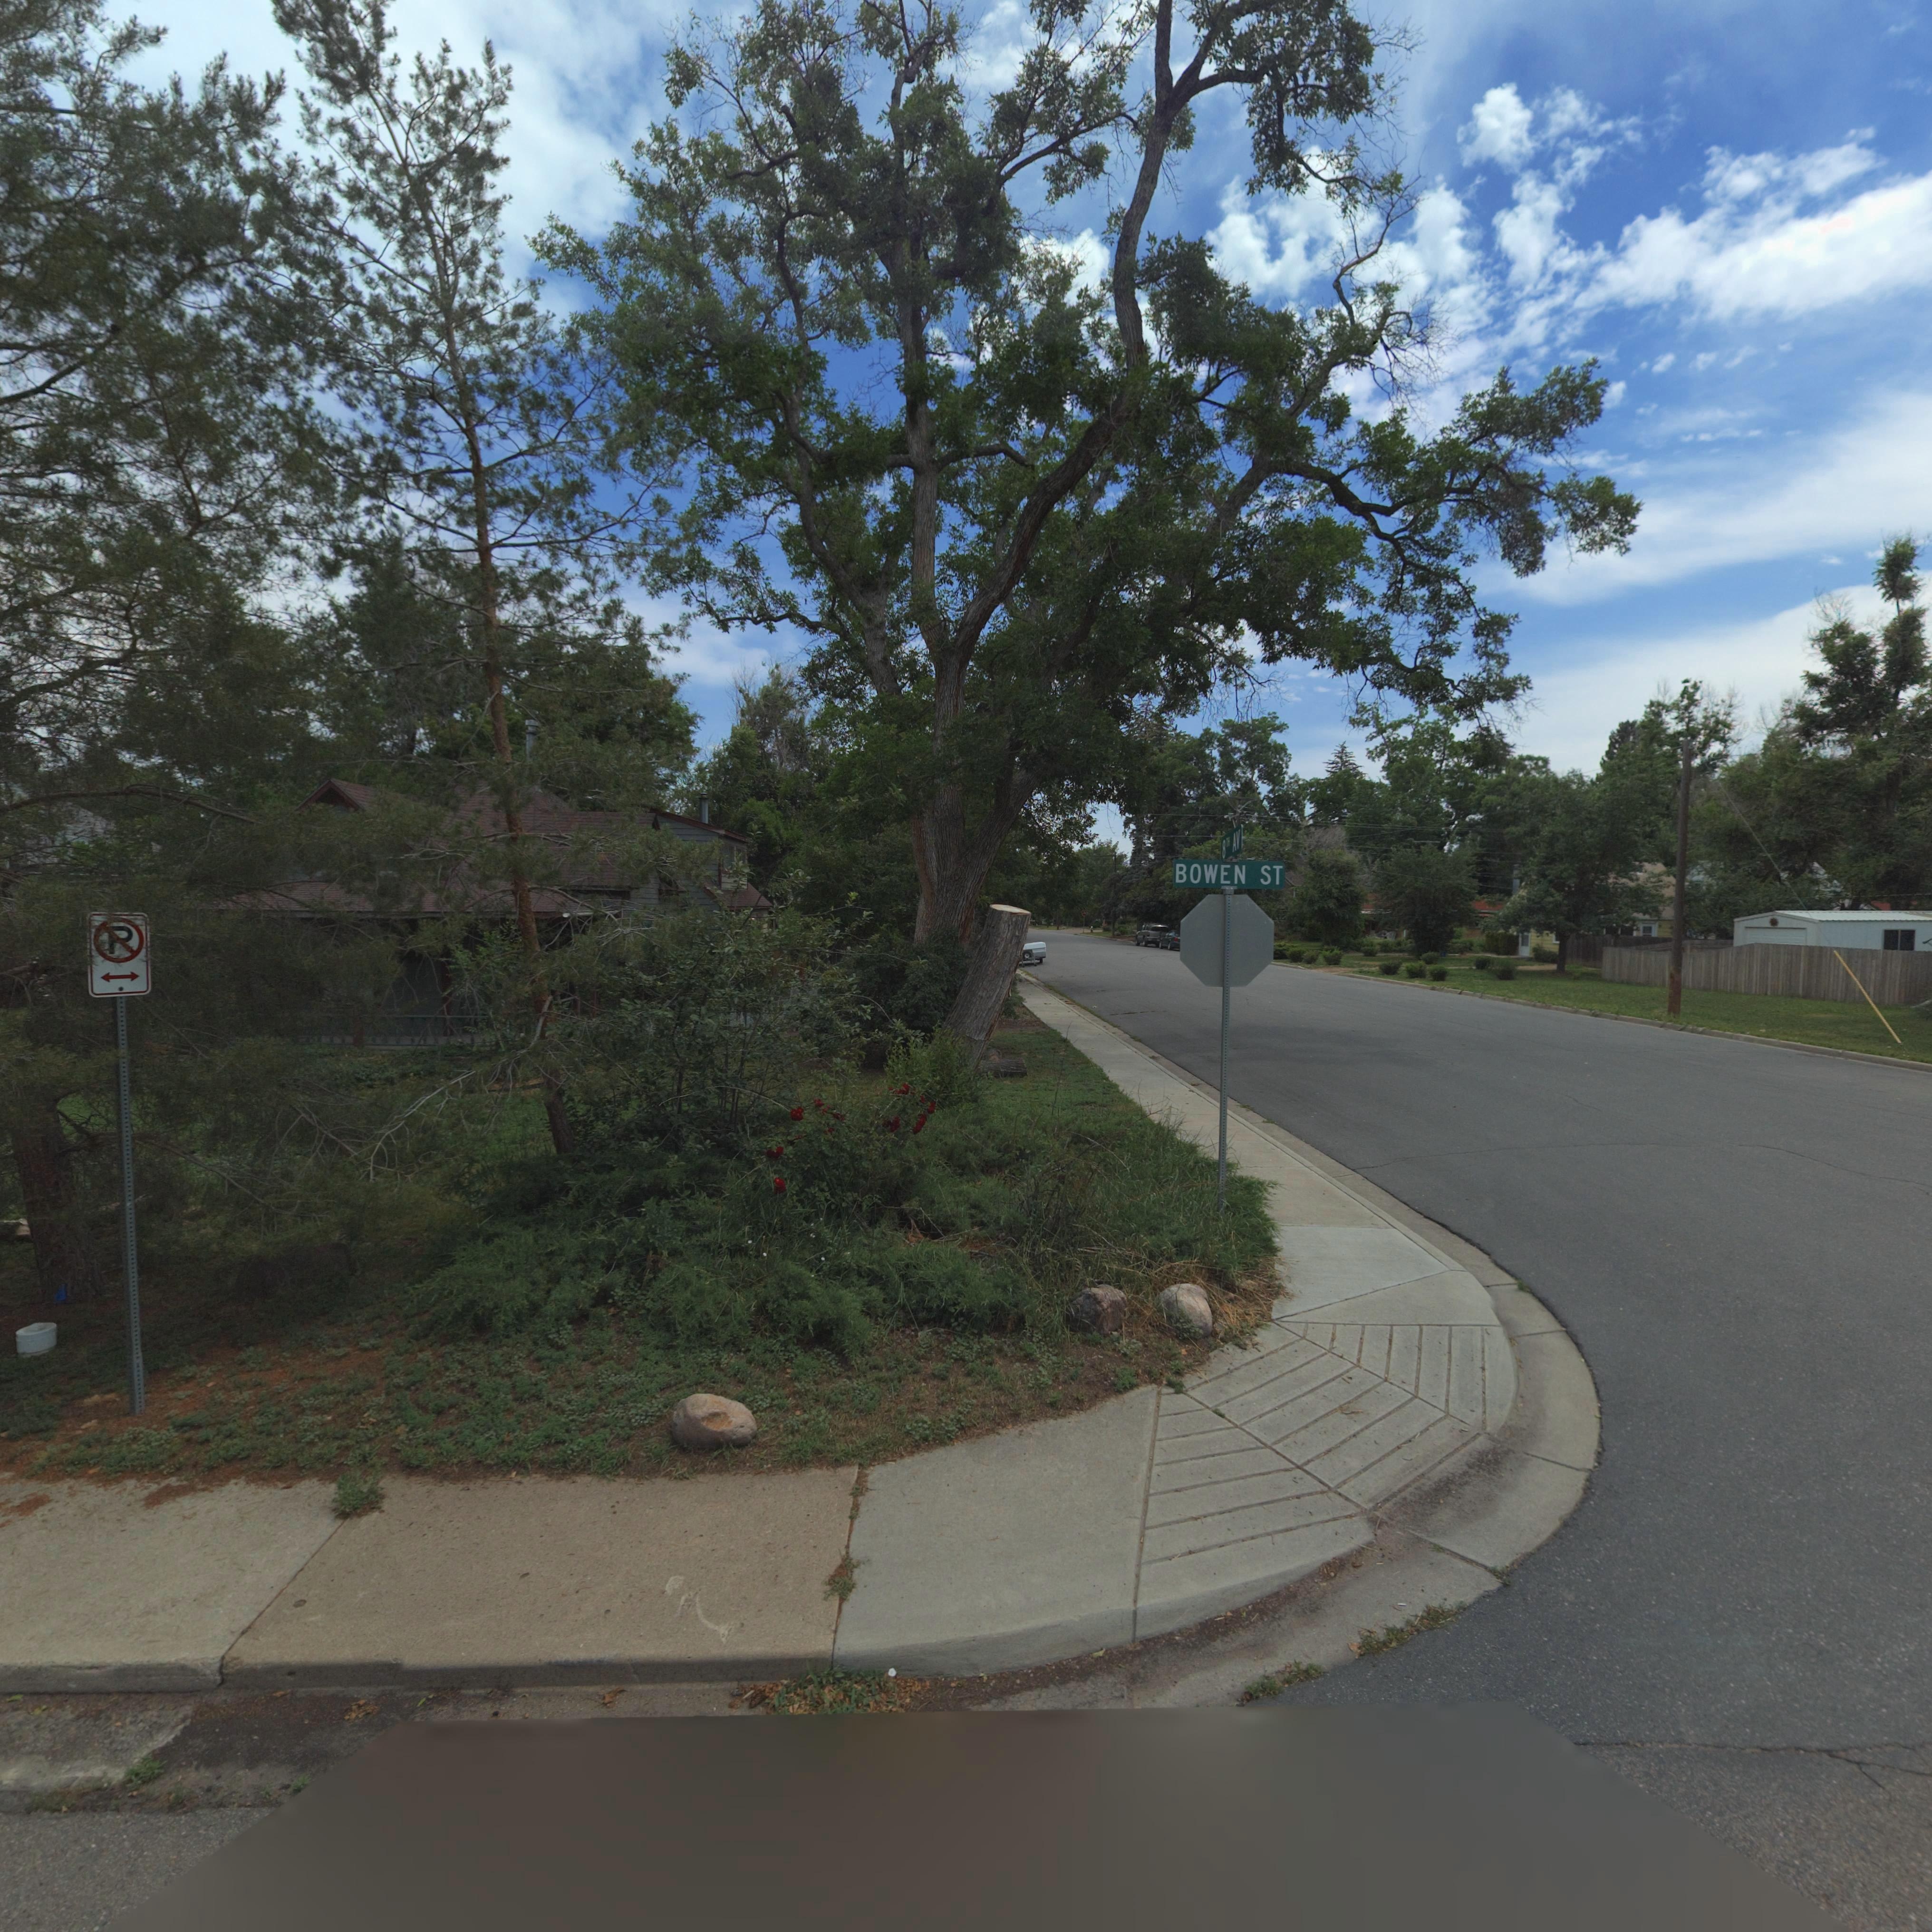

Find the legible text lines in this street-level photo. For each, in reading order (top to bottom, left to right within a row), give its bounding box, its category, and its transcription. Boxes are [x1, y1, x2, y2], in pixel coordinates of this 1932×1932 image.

[1222, 829, 1240, 859] StreetName: 8TH AV
[1176, 864, 1282, 884] StreetName: BOWEN ST